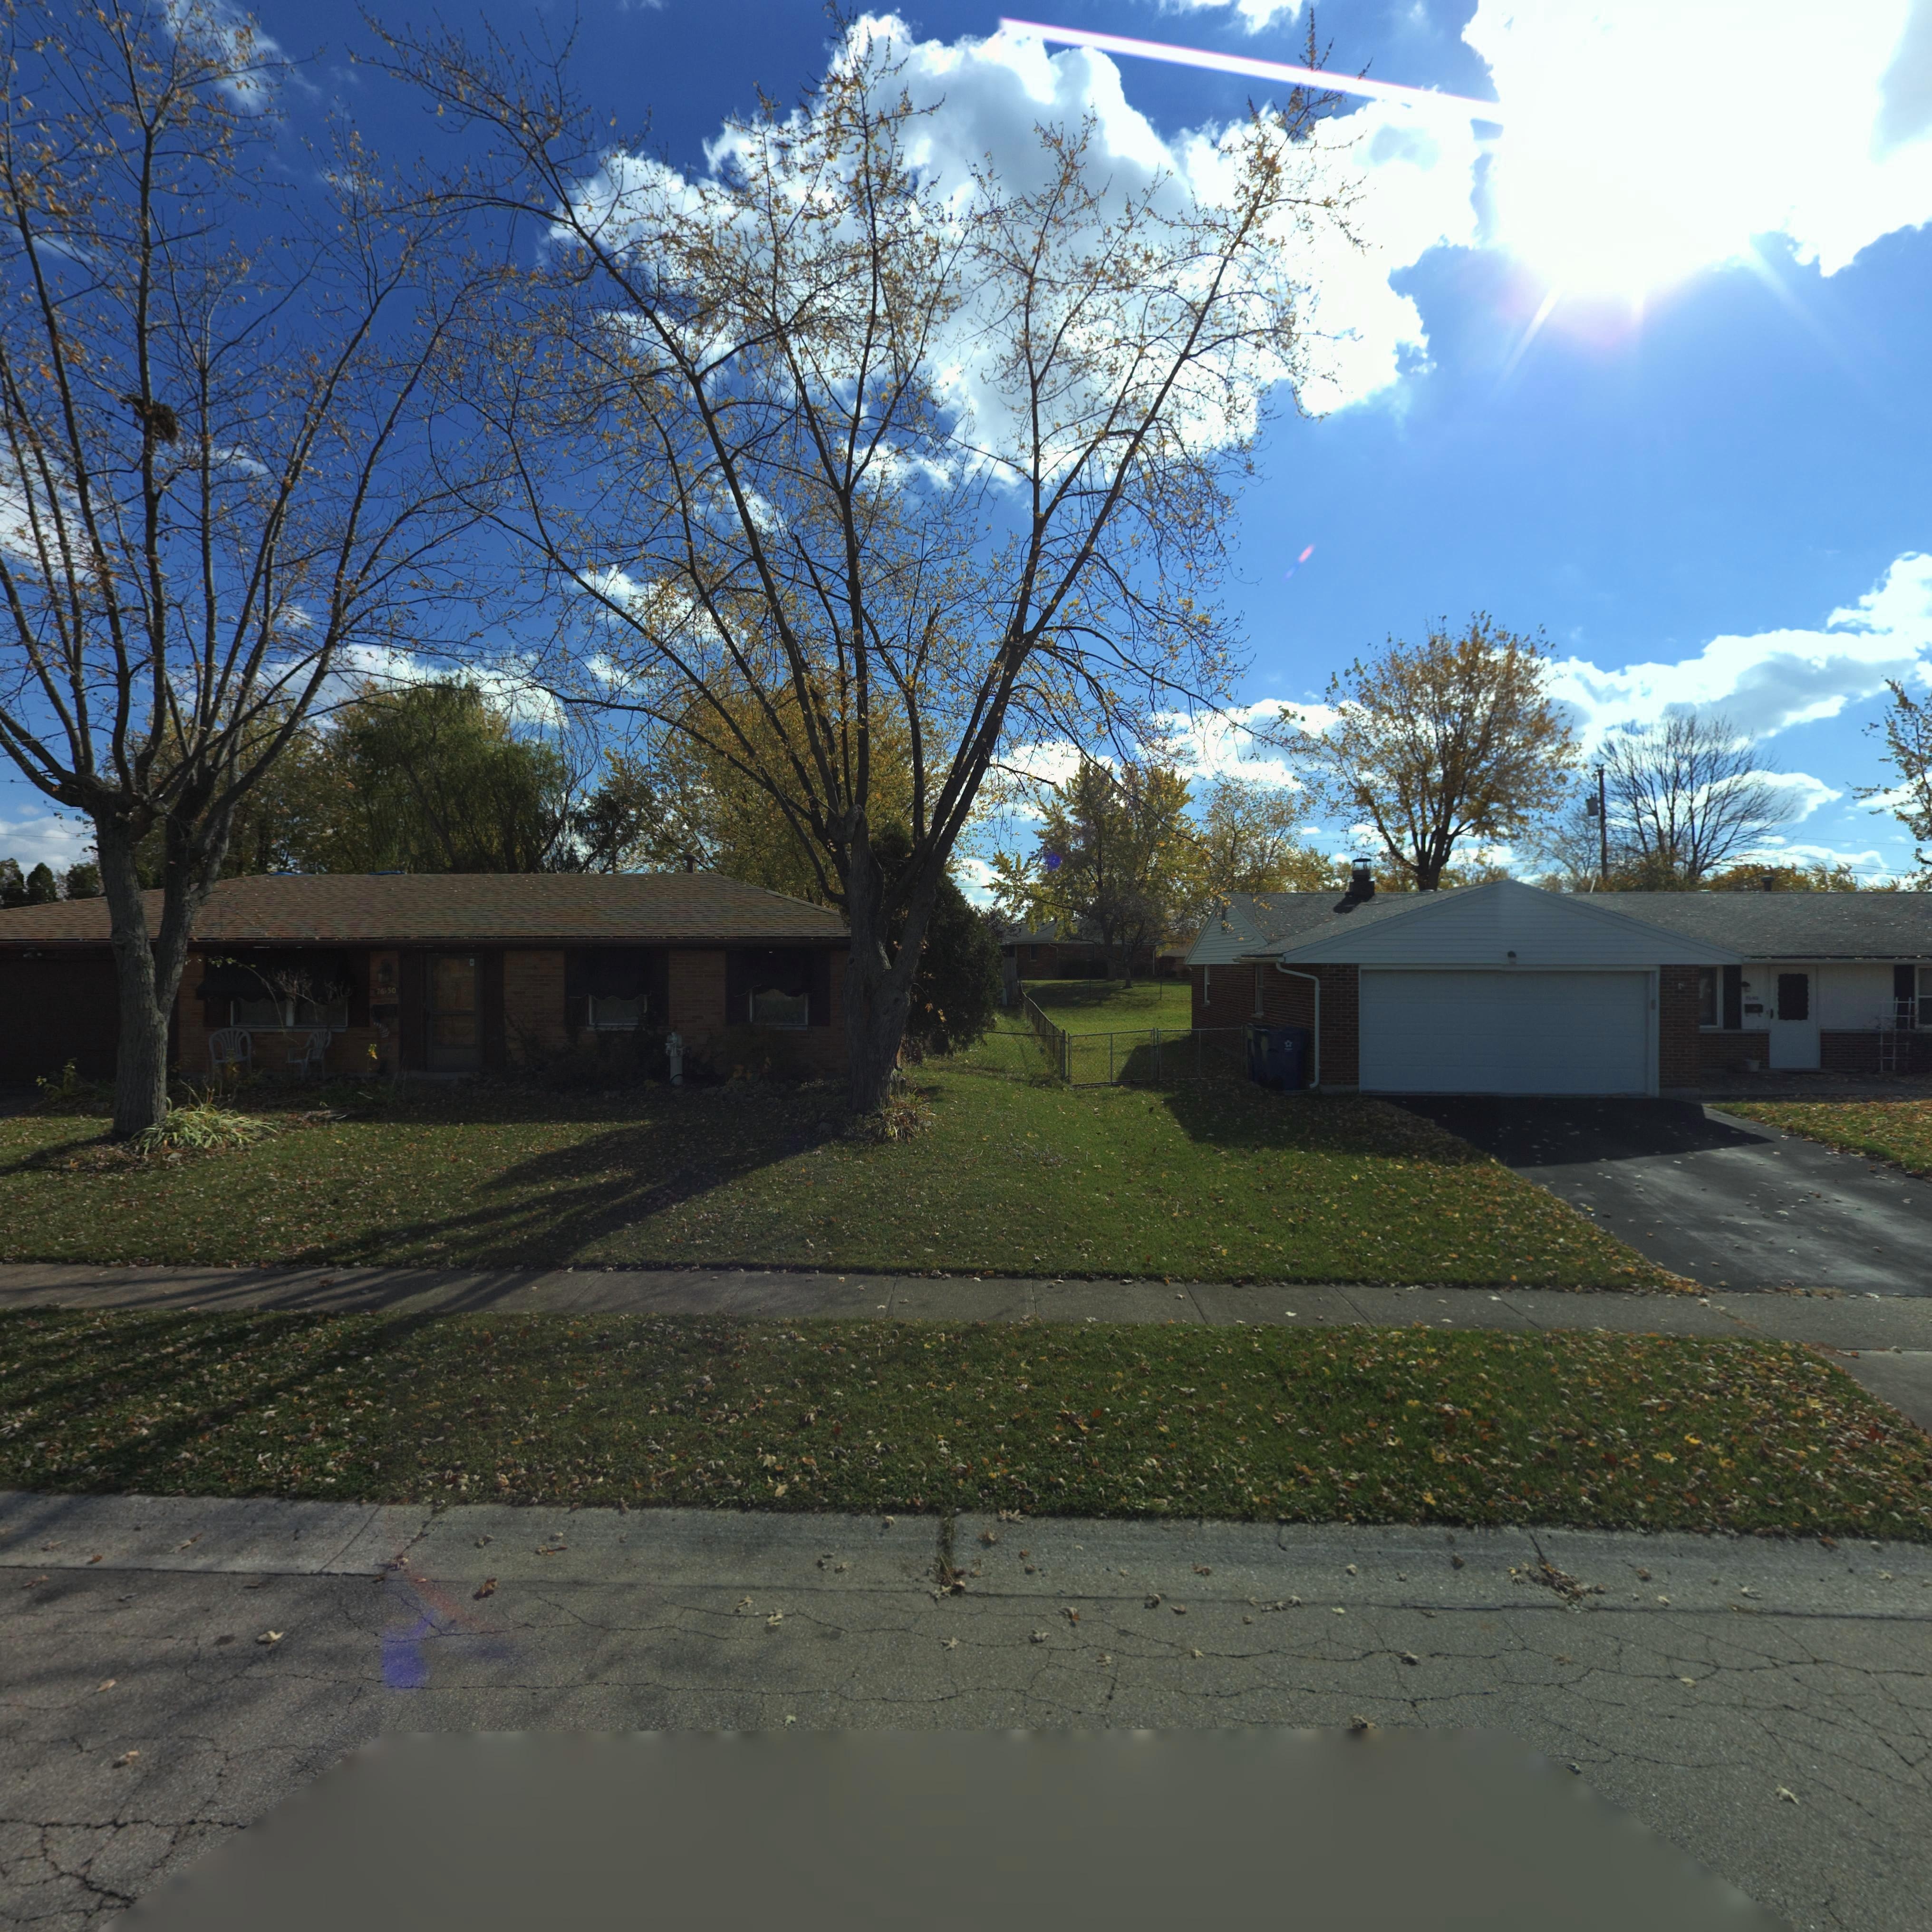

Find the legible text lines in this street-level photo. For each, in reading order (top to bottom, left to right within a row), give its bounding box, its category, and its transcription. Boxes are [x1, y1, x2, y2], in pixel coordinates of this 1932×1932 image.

[376, 987, 396, 995] StreetNumber: 76*50
[1744, 995, 1758, 1001] StreetNumber: 7640